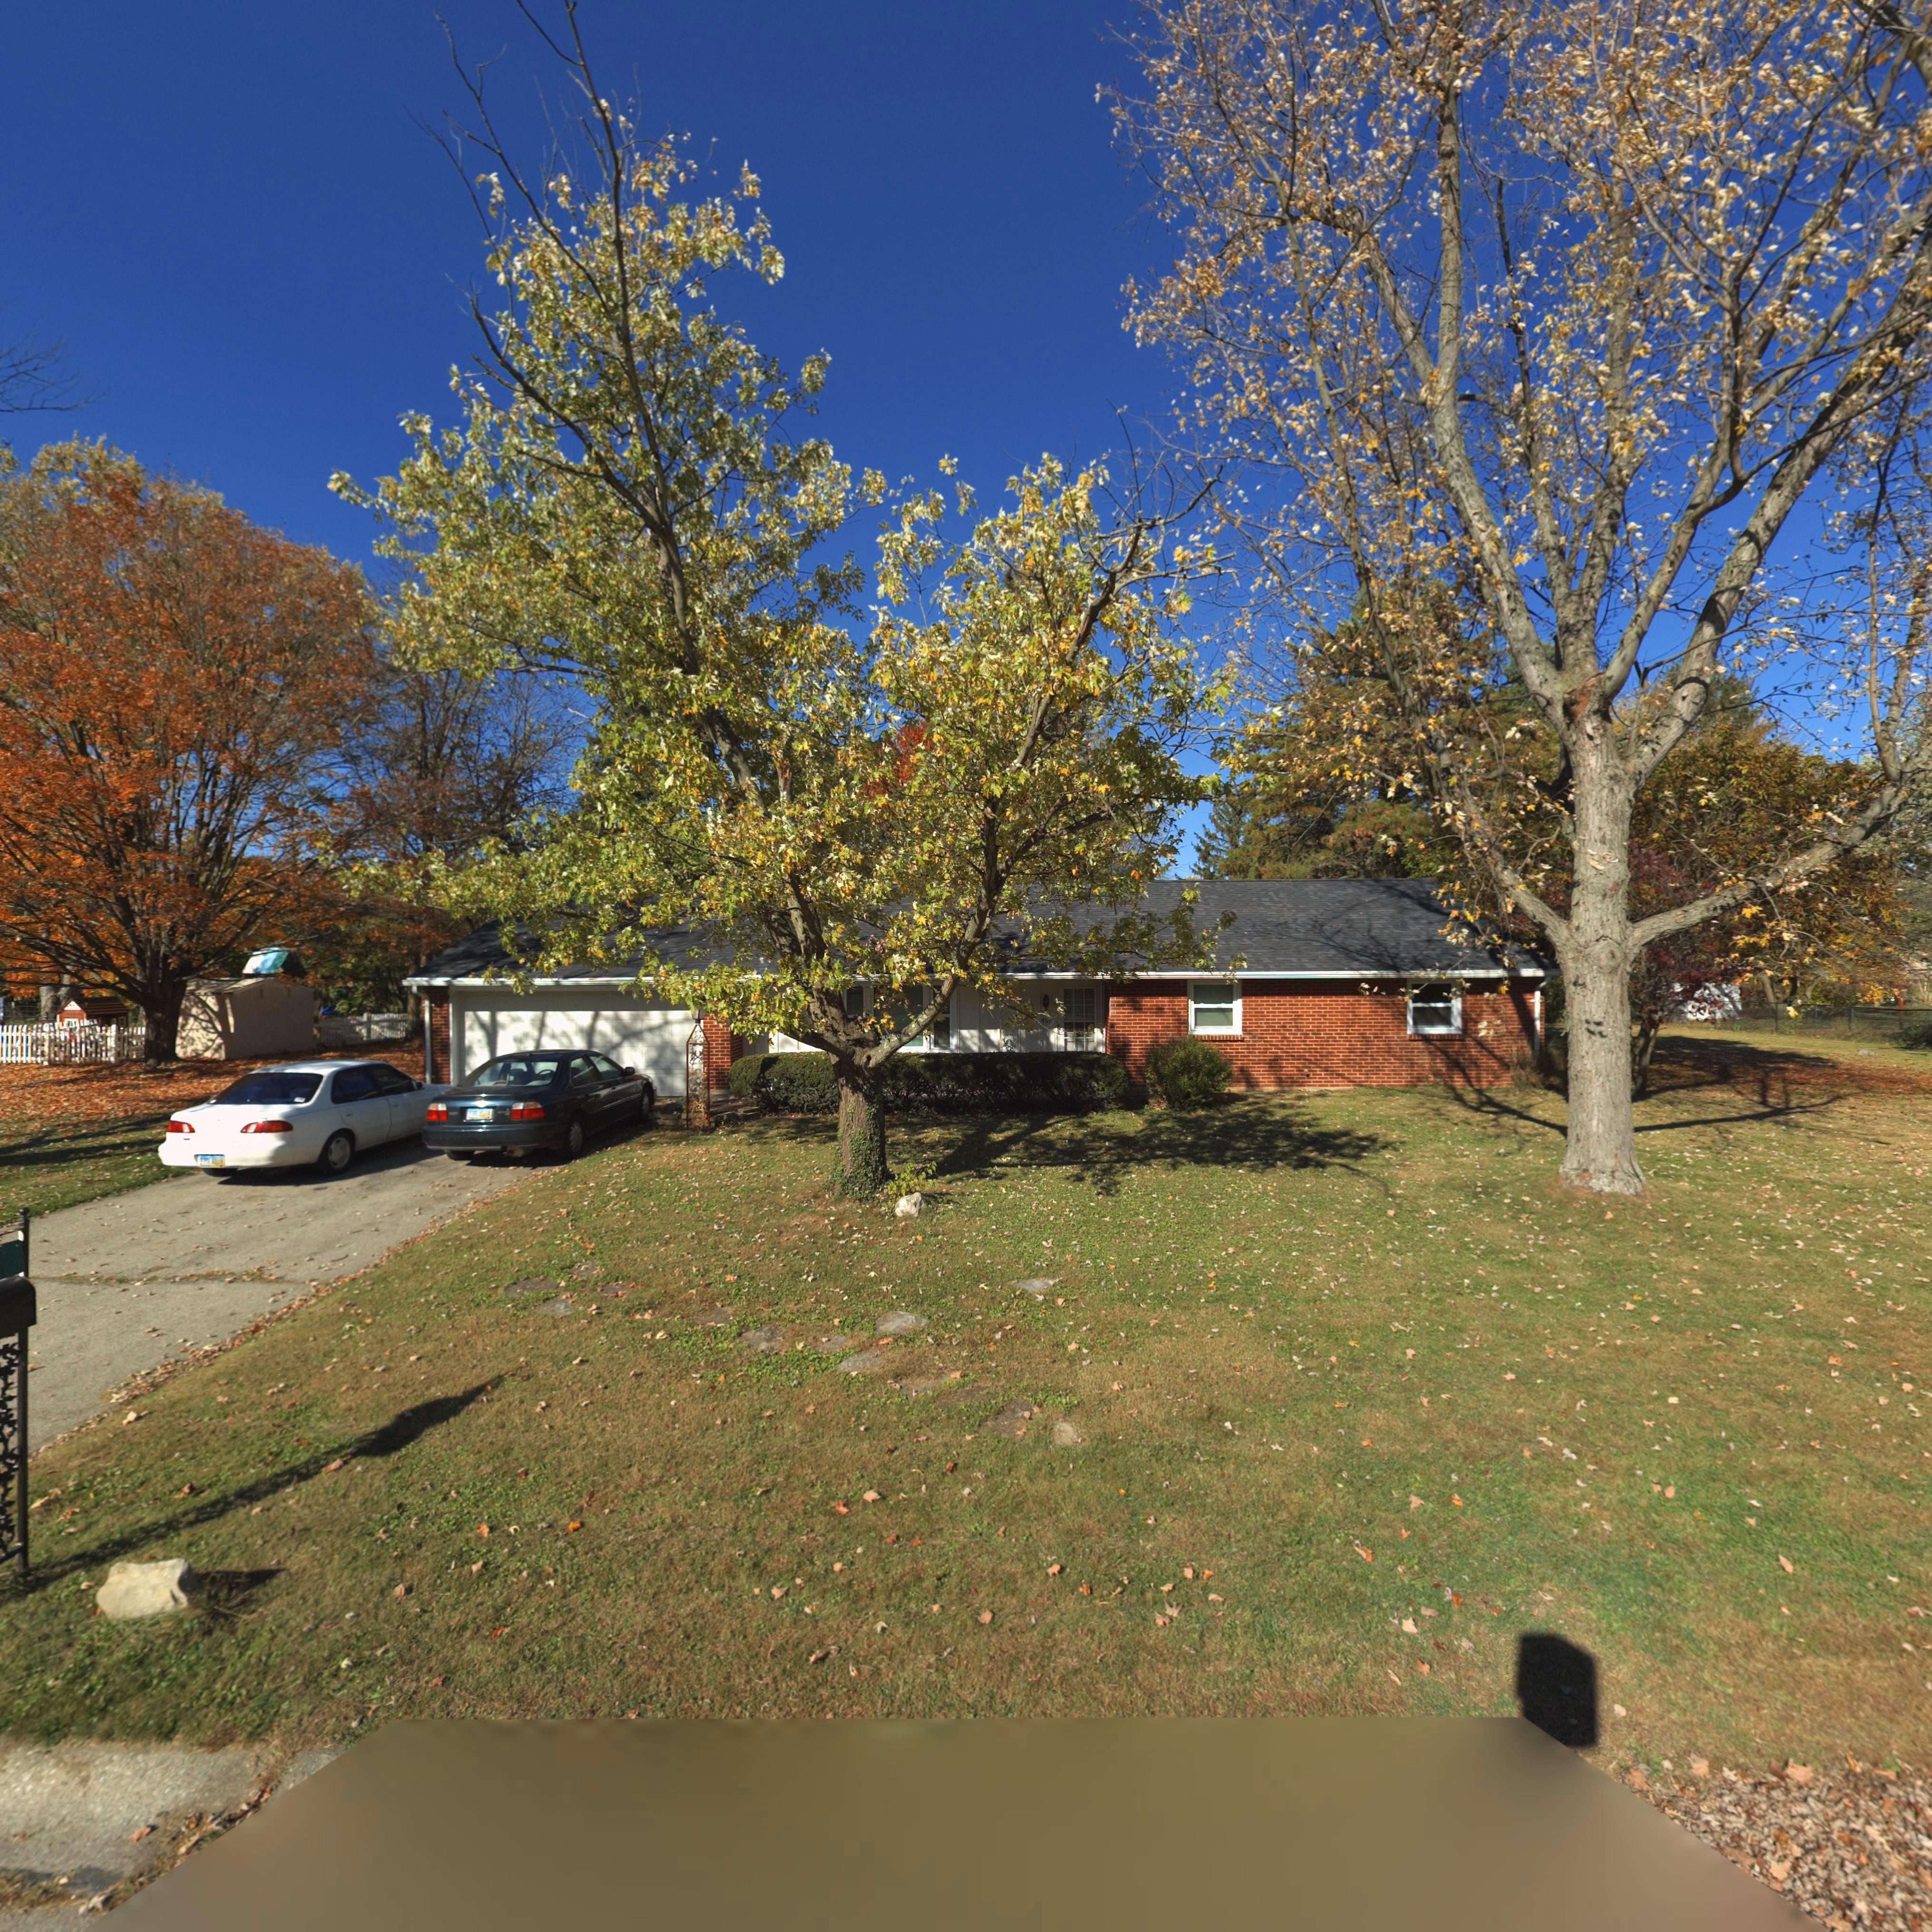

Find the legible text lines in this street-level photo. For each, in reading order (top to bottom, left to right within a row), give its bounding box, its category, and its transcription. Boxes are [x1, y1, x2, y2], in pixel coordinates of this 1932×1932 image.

[1041, 1017, 1053, 1024] StreetNumber: 46*